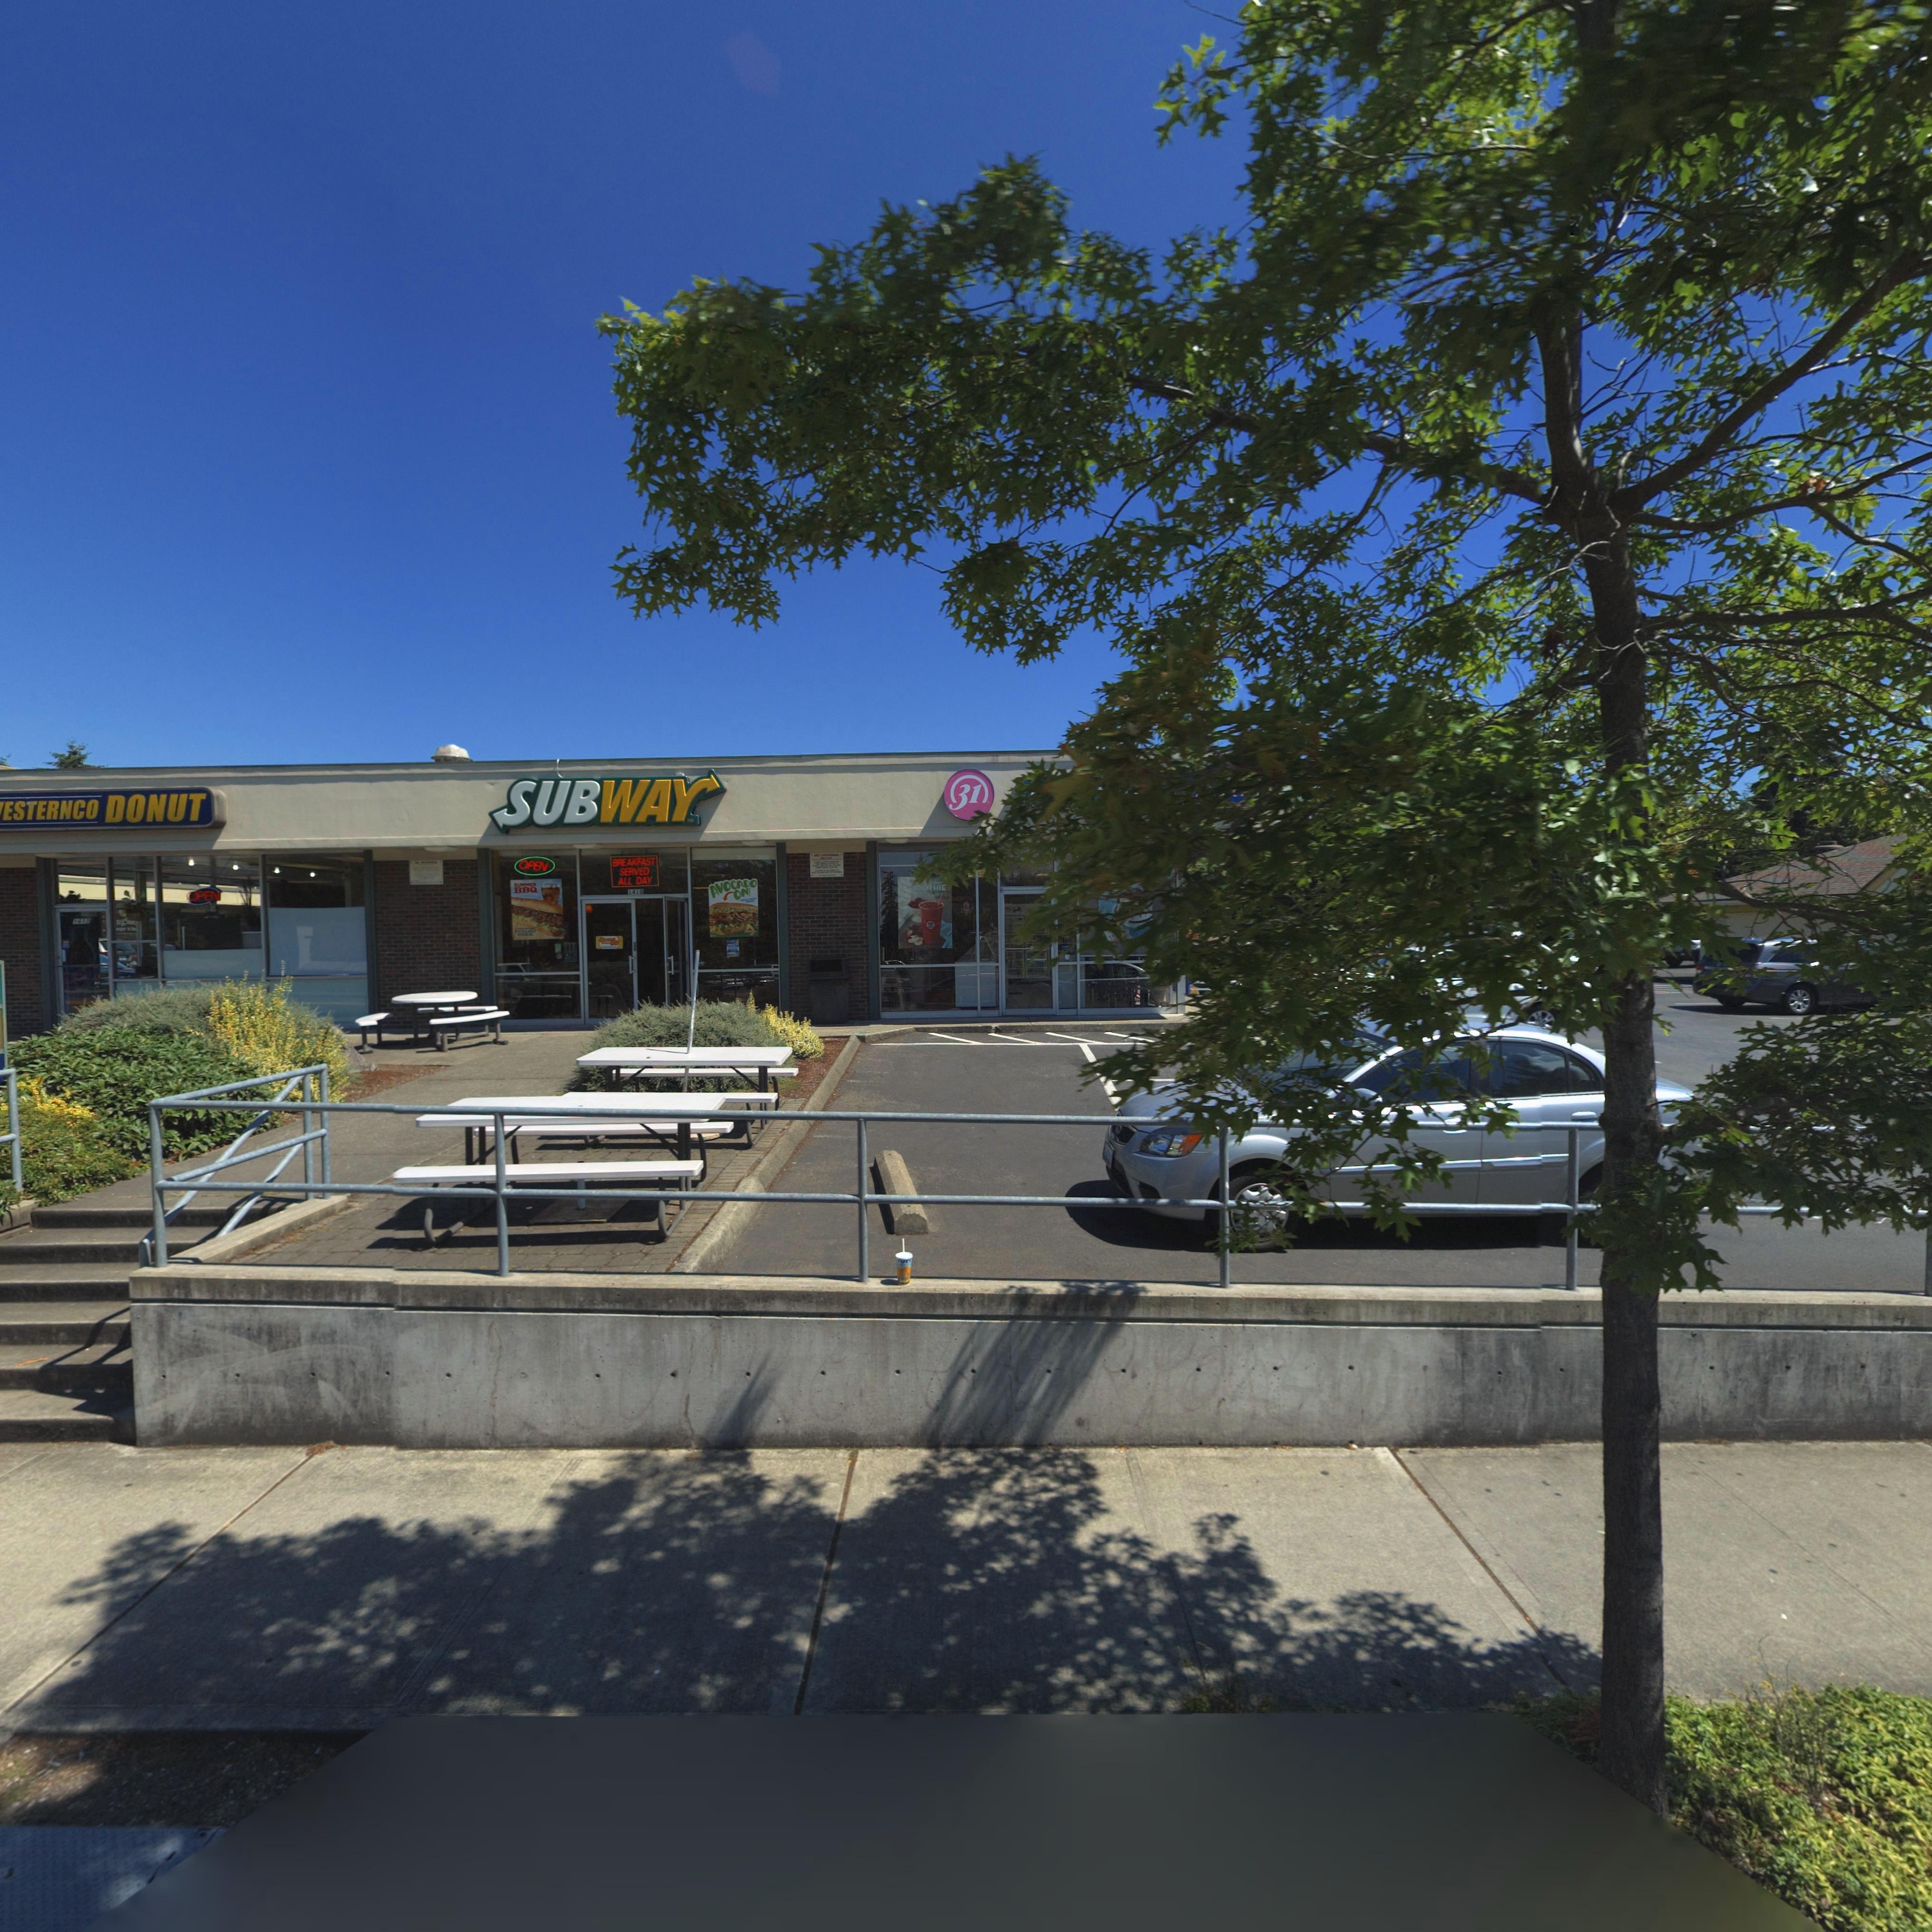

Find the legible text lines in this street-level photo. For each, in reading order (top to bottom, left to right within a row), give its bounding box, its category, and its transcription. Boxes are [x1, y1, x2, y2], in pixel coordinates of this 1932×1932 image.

[2, 791, 207, 822] BusinessName: ESTERNCO DONUT
[486, 773, 724, 831] BusinessName: SUBWAY
[628, 889, 644, 895] StreetNumber: 1410
[72, 917, 90, 925] StreetNumber: 1412